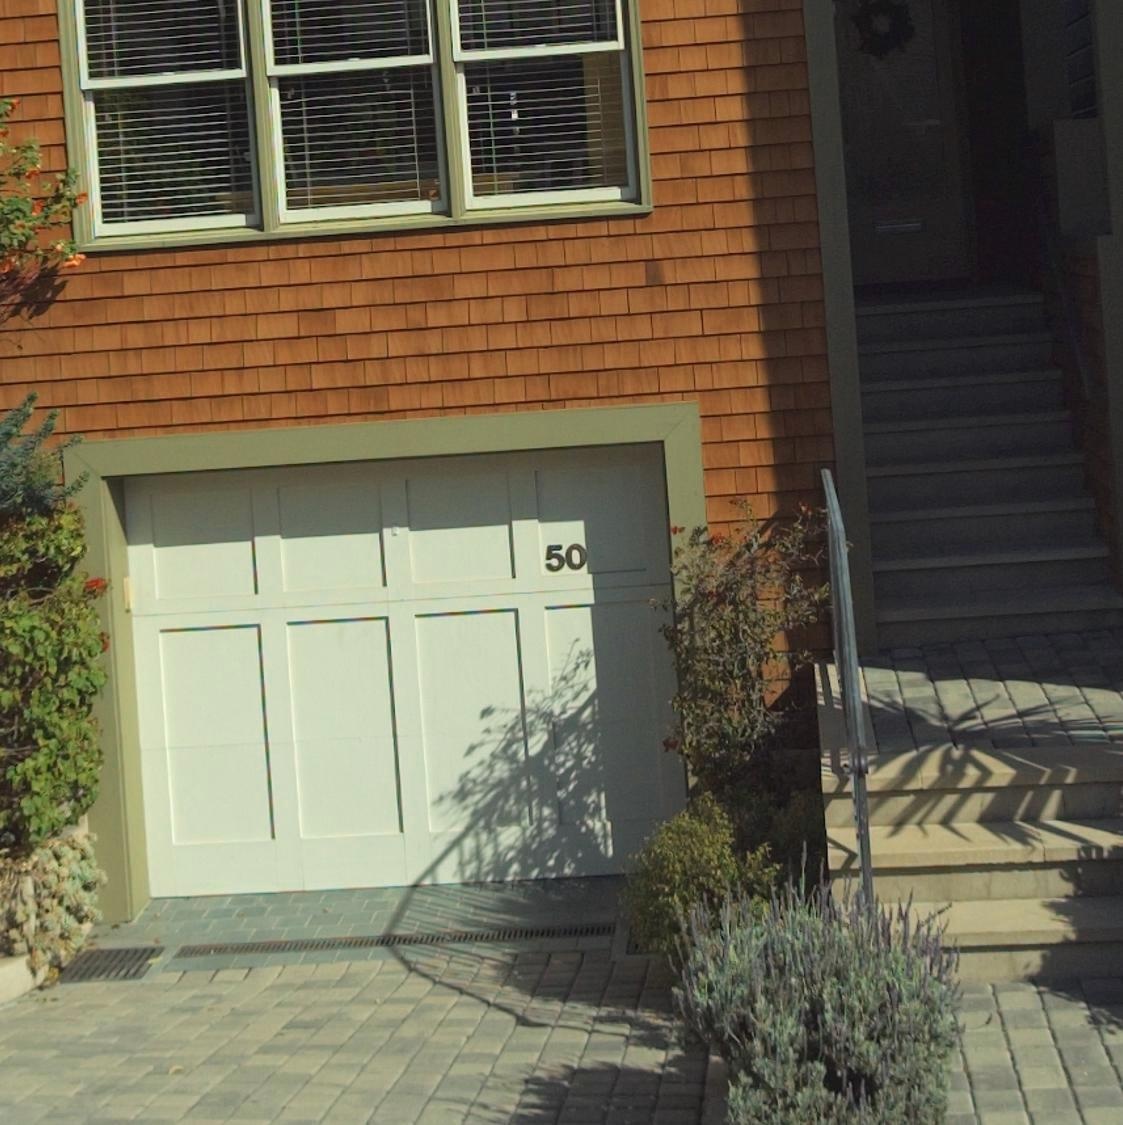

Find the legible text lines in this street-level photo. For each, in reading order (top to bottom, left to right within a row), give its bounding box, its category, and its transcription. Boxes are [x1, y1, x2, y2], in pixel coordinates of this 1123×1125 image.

[544, 542, 589, 574] StreetNumber: 50